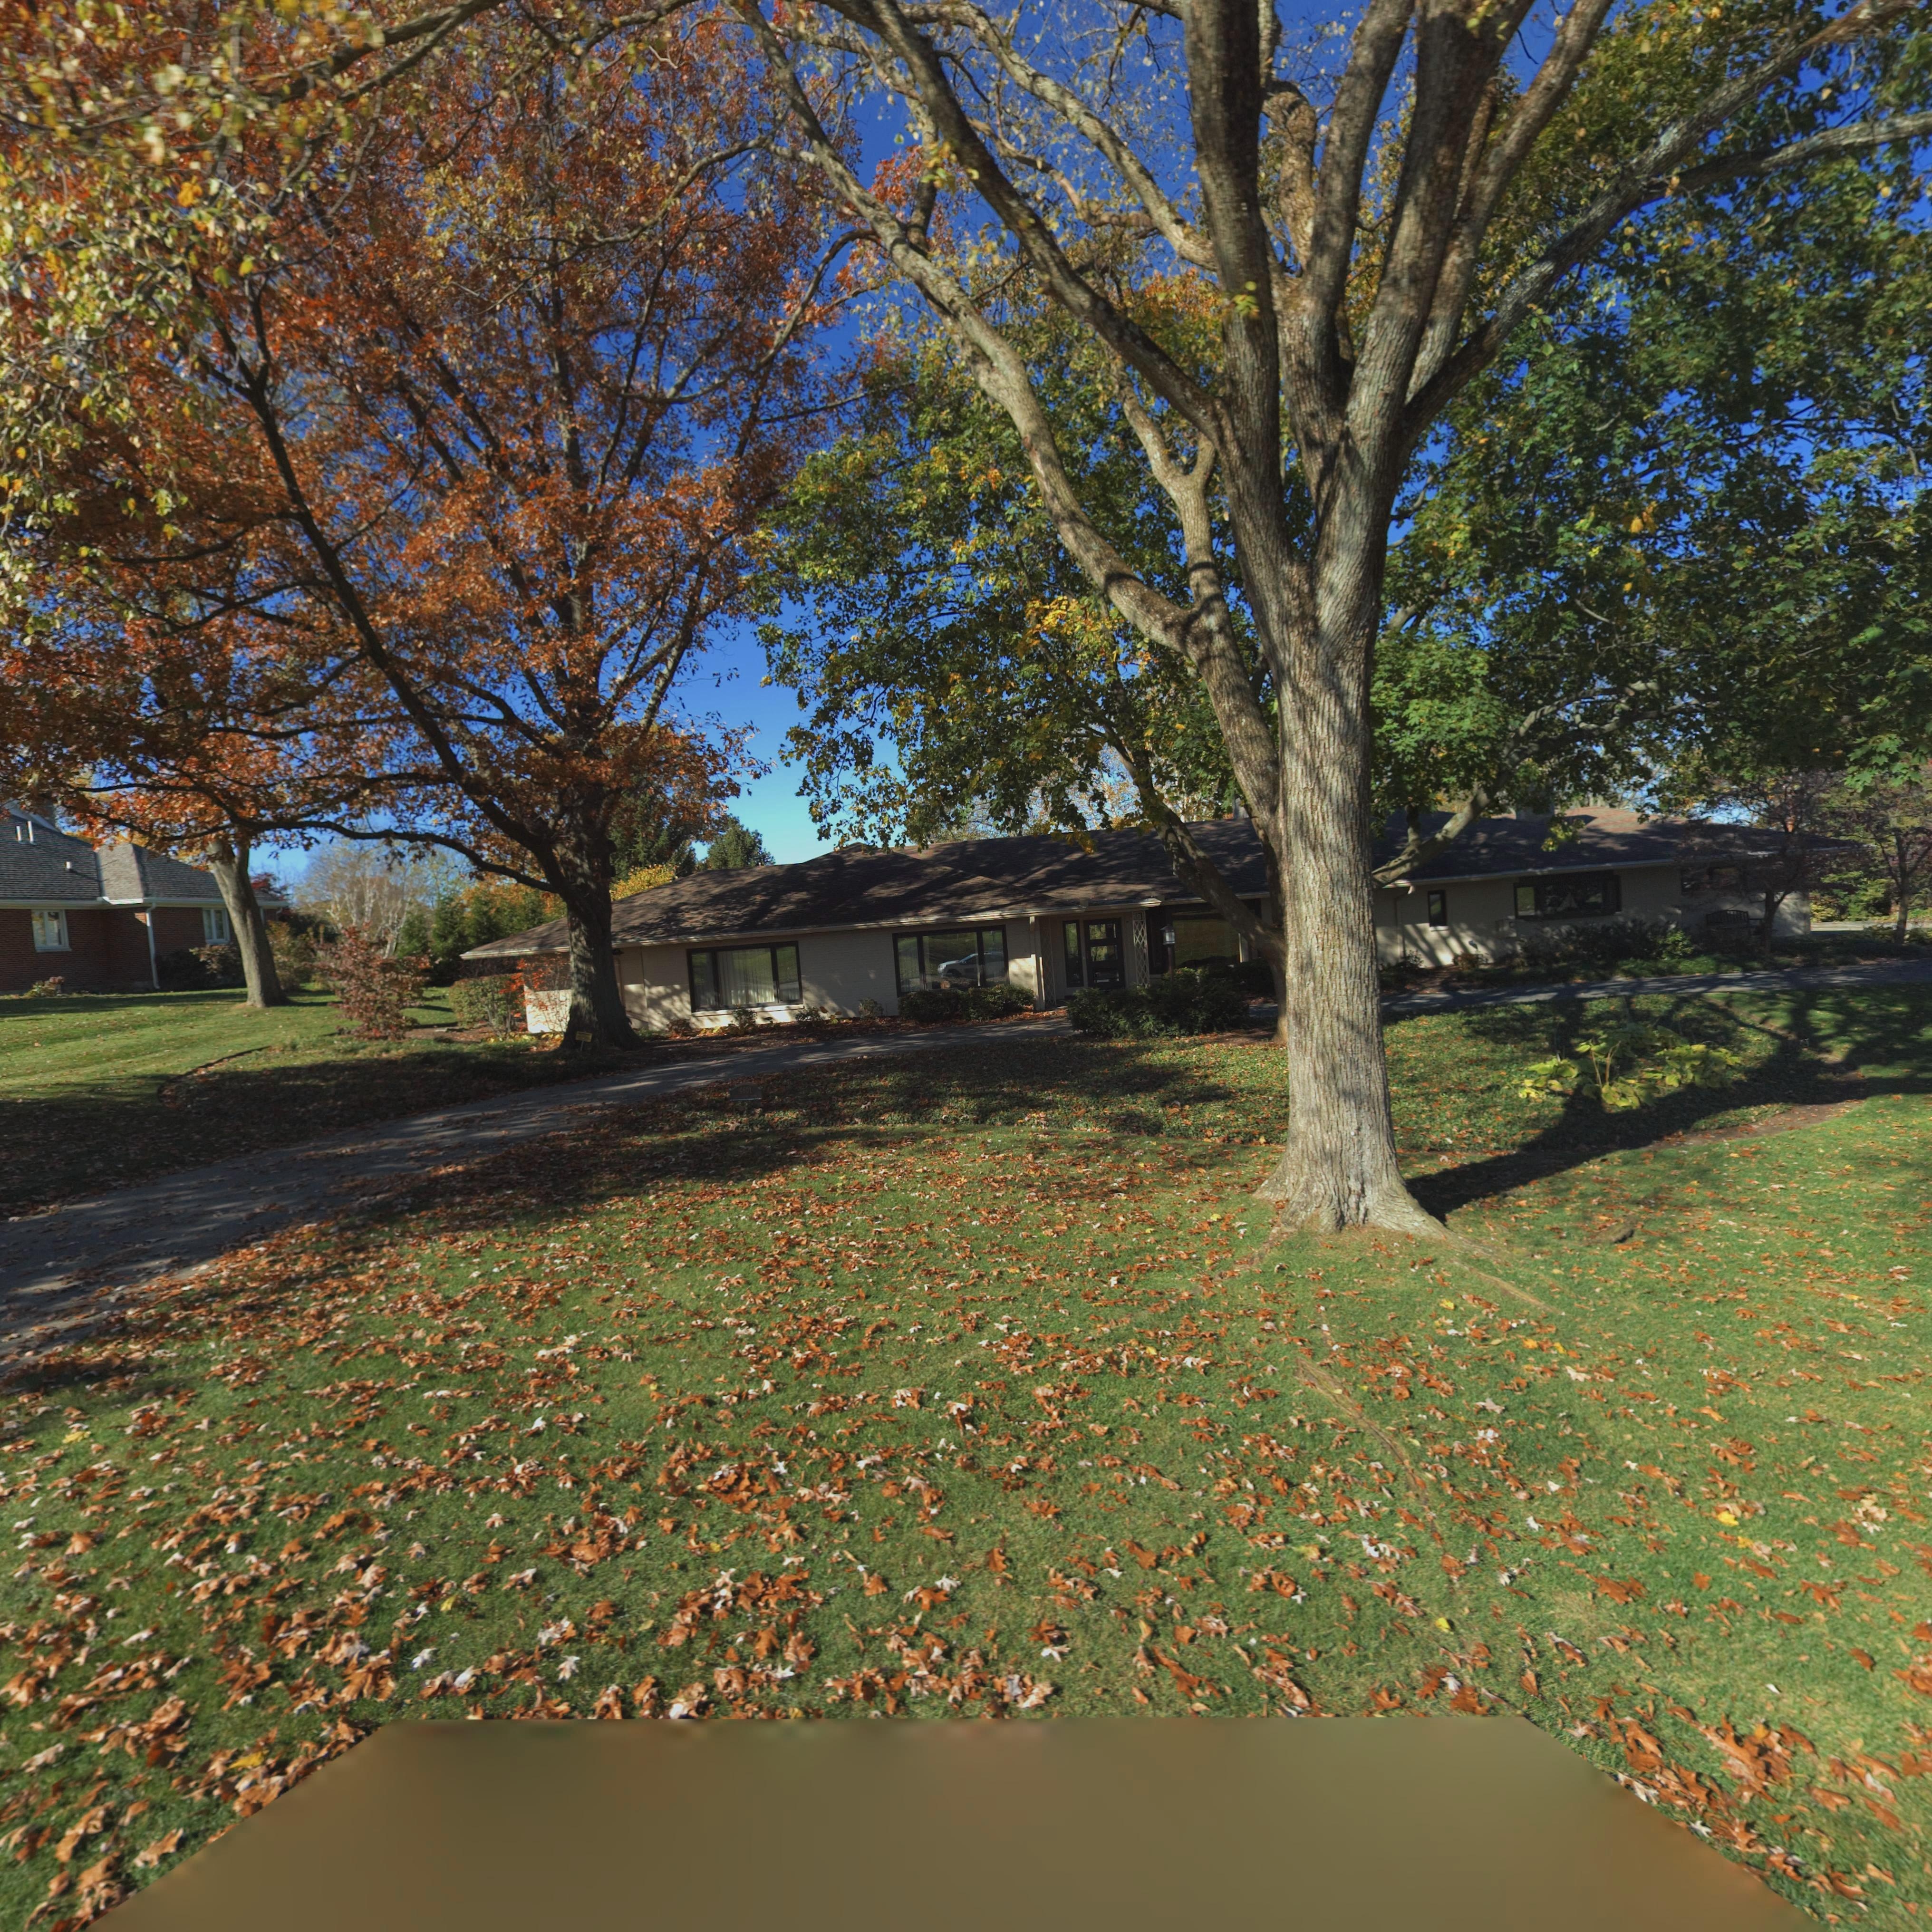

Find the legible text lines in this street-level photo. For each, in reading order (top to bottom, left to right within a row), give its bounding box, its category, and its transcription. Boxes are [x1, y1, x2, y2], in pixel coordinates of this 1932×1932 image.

[739, 1086, 752, 1094] StreetNumber: 4601